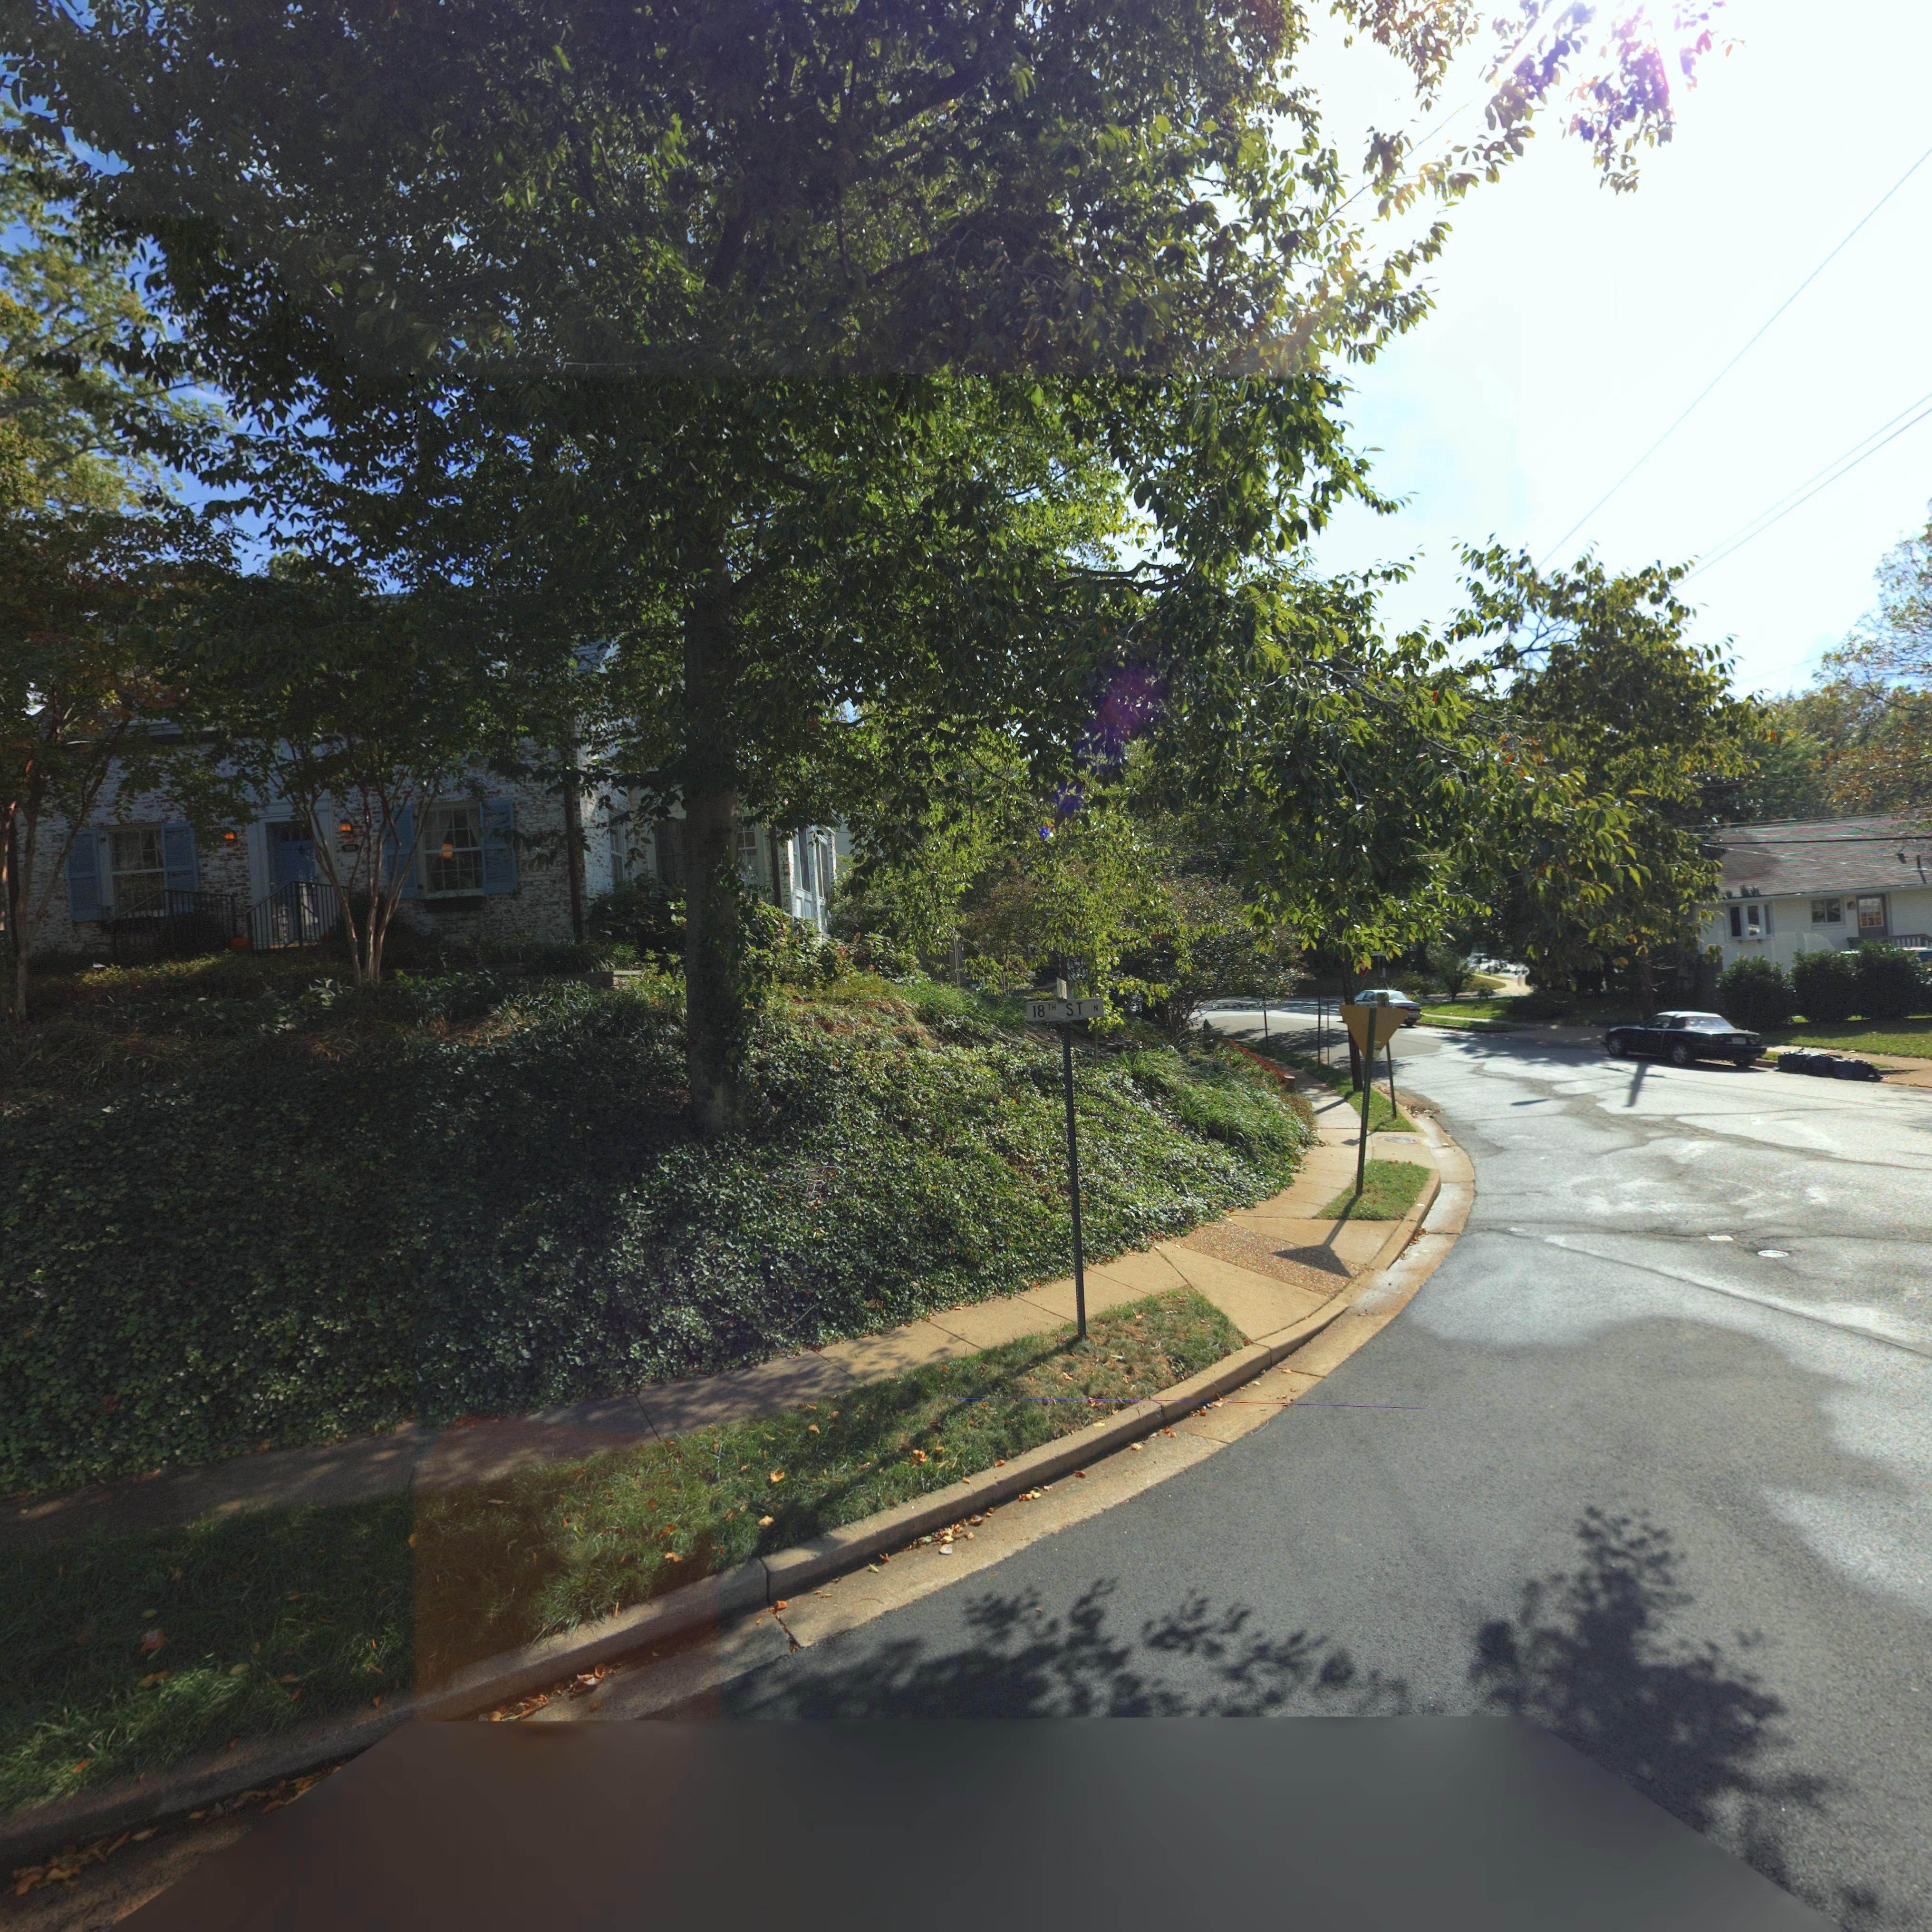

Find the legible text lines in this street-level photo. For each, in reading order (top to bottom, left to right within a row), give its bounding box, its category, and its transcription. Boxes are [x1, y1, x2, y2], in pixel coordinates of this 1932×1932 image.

[1031, 1001, 1100, 1020] StreetName: 18TH ST N